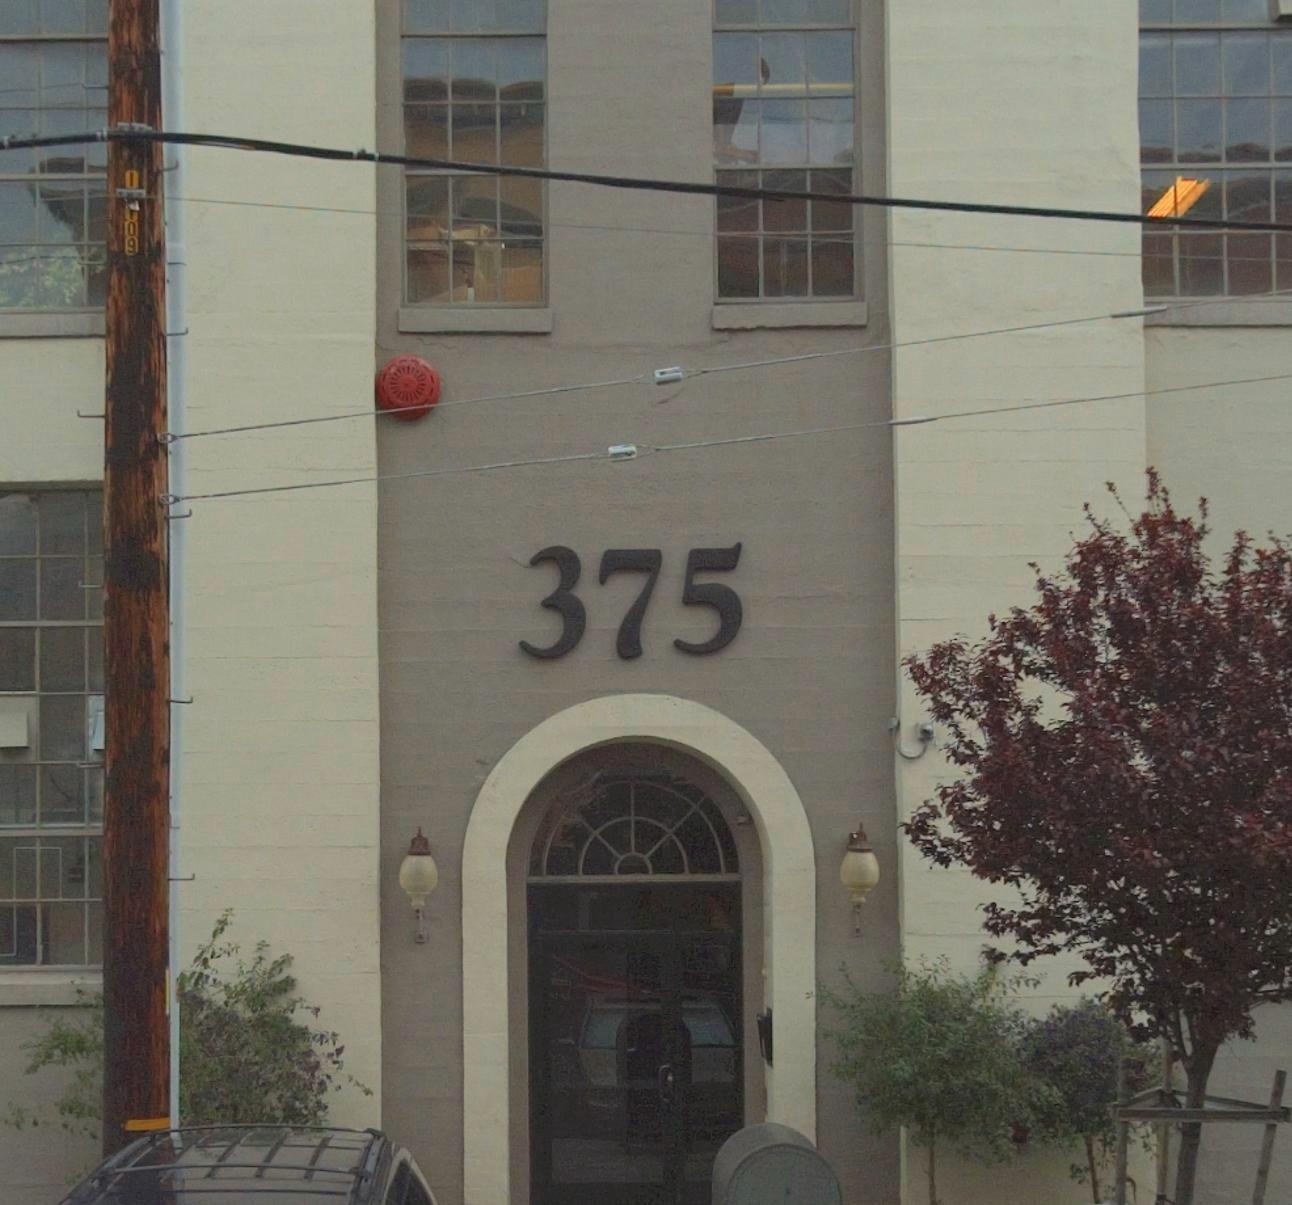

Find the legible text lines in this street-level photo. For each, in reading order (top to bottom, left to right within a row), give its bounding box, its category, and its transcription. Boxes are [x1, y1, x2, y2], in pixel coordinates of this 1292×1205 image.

[514, 537, 747, 666] StreetNumber: 375